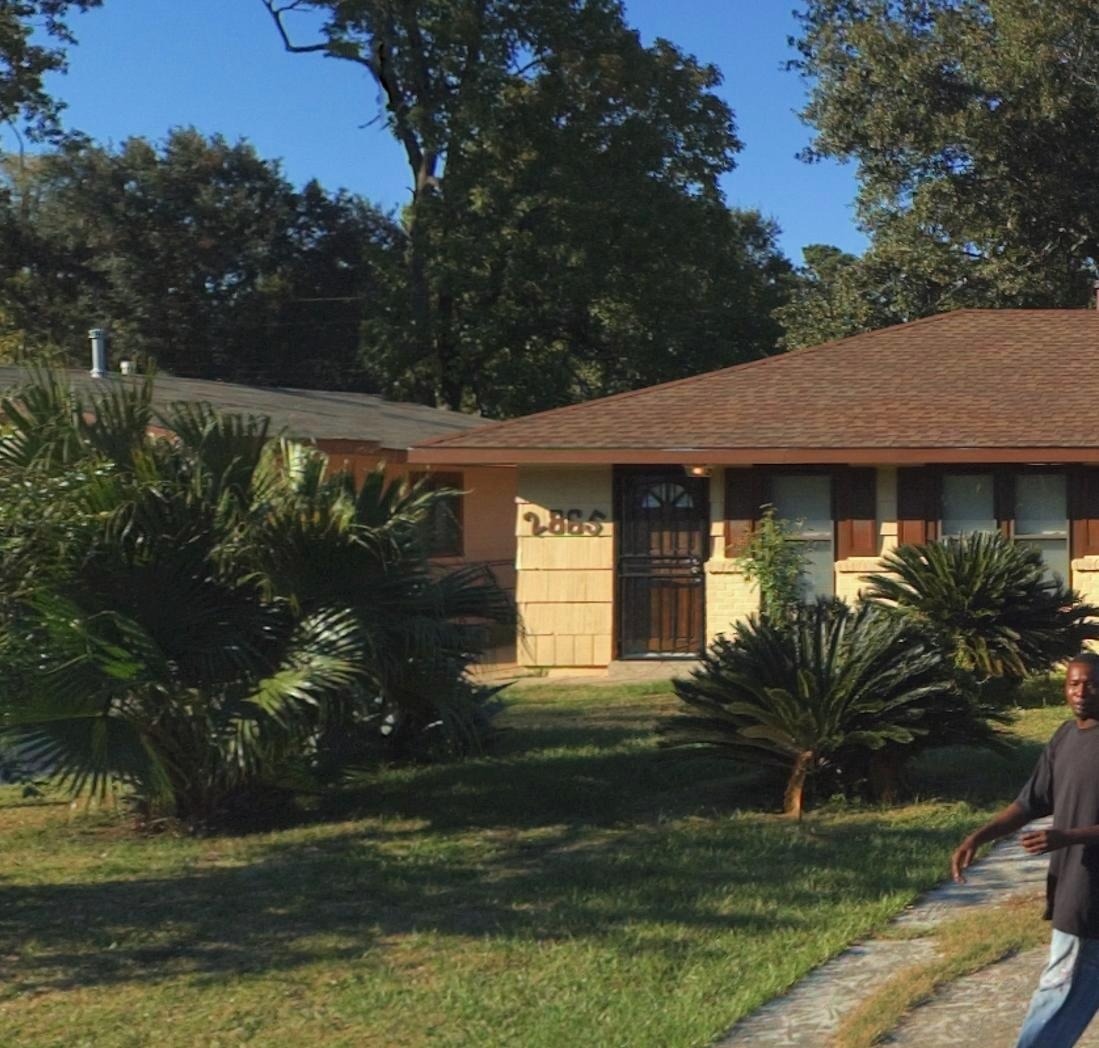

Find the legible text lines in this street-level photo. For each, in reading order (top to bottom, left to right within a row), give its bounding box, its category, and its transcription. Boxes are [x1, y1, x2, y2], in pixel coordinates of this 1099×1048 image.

[520, 506, 608, 537] StreetNumber: 2865